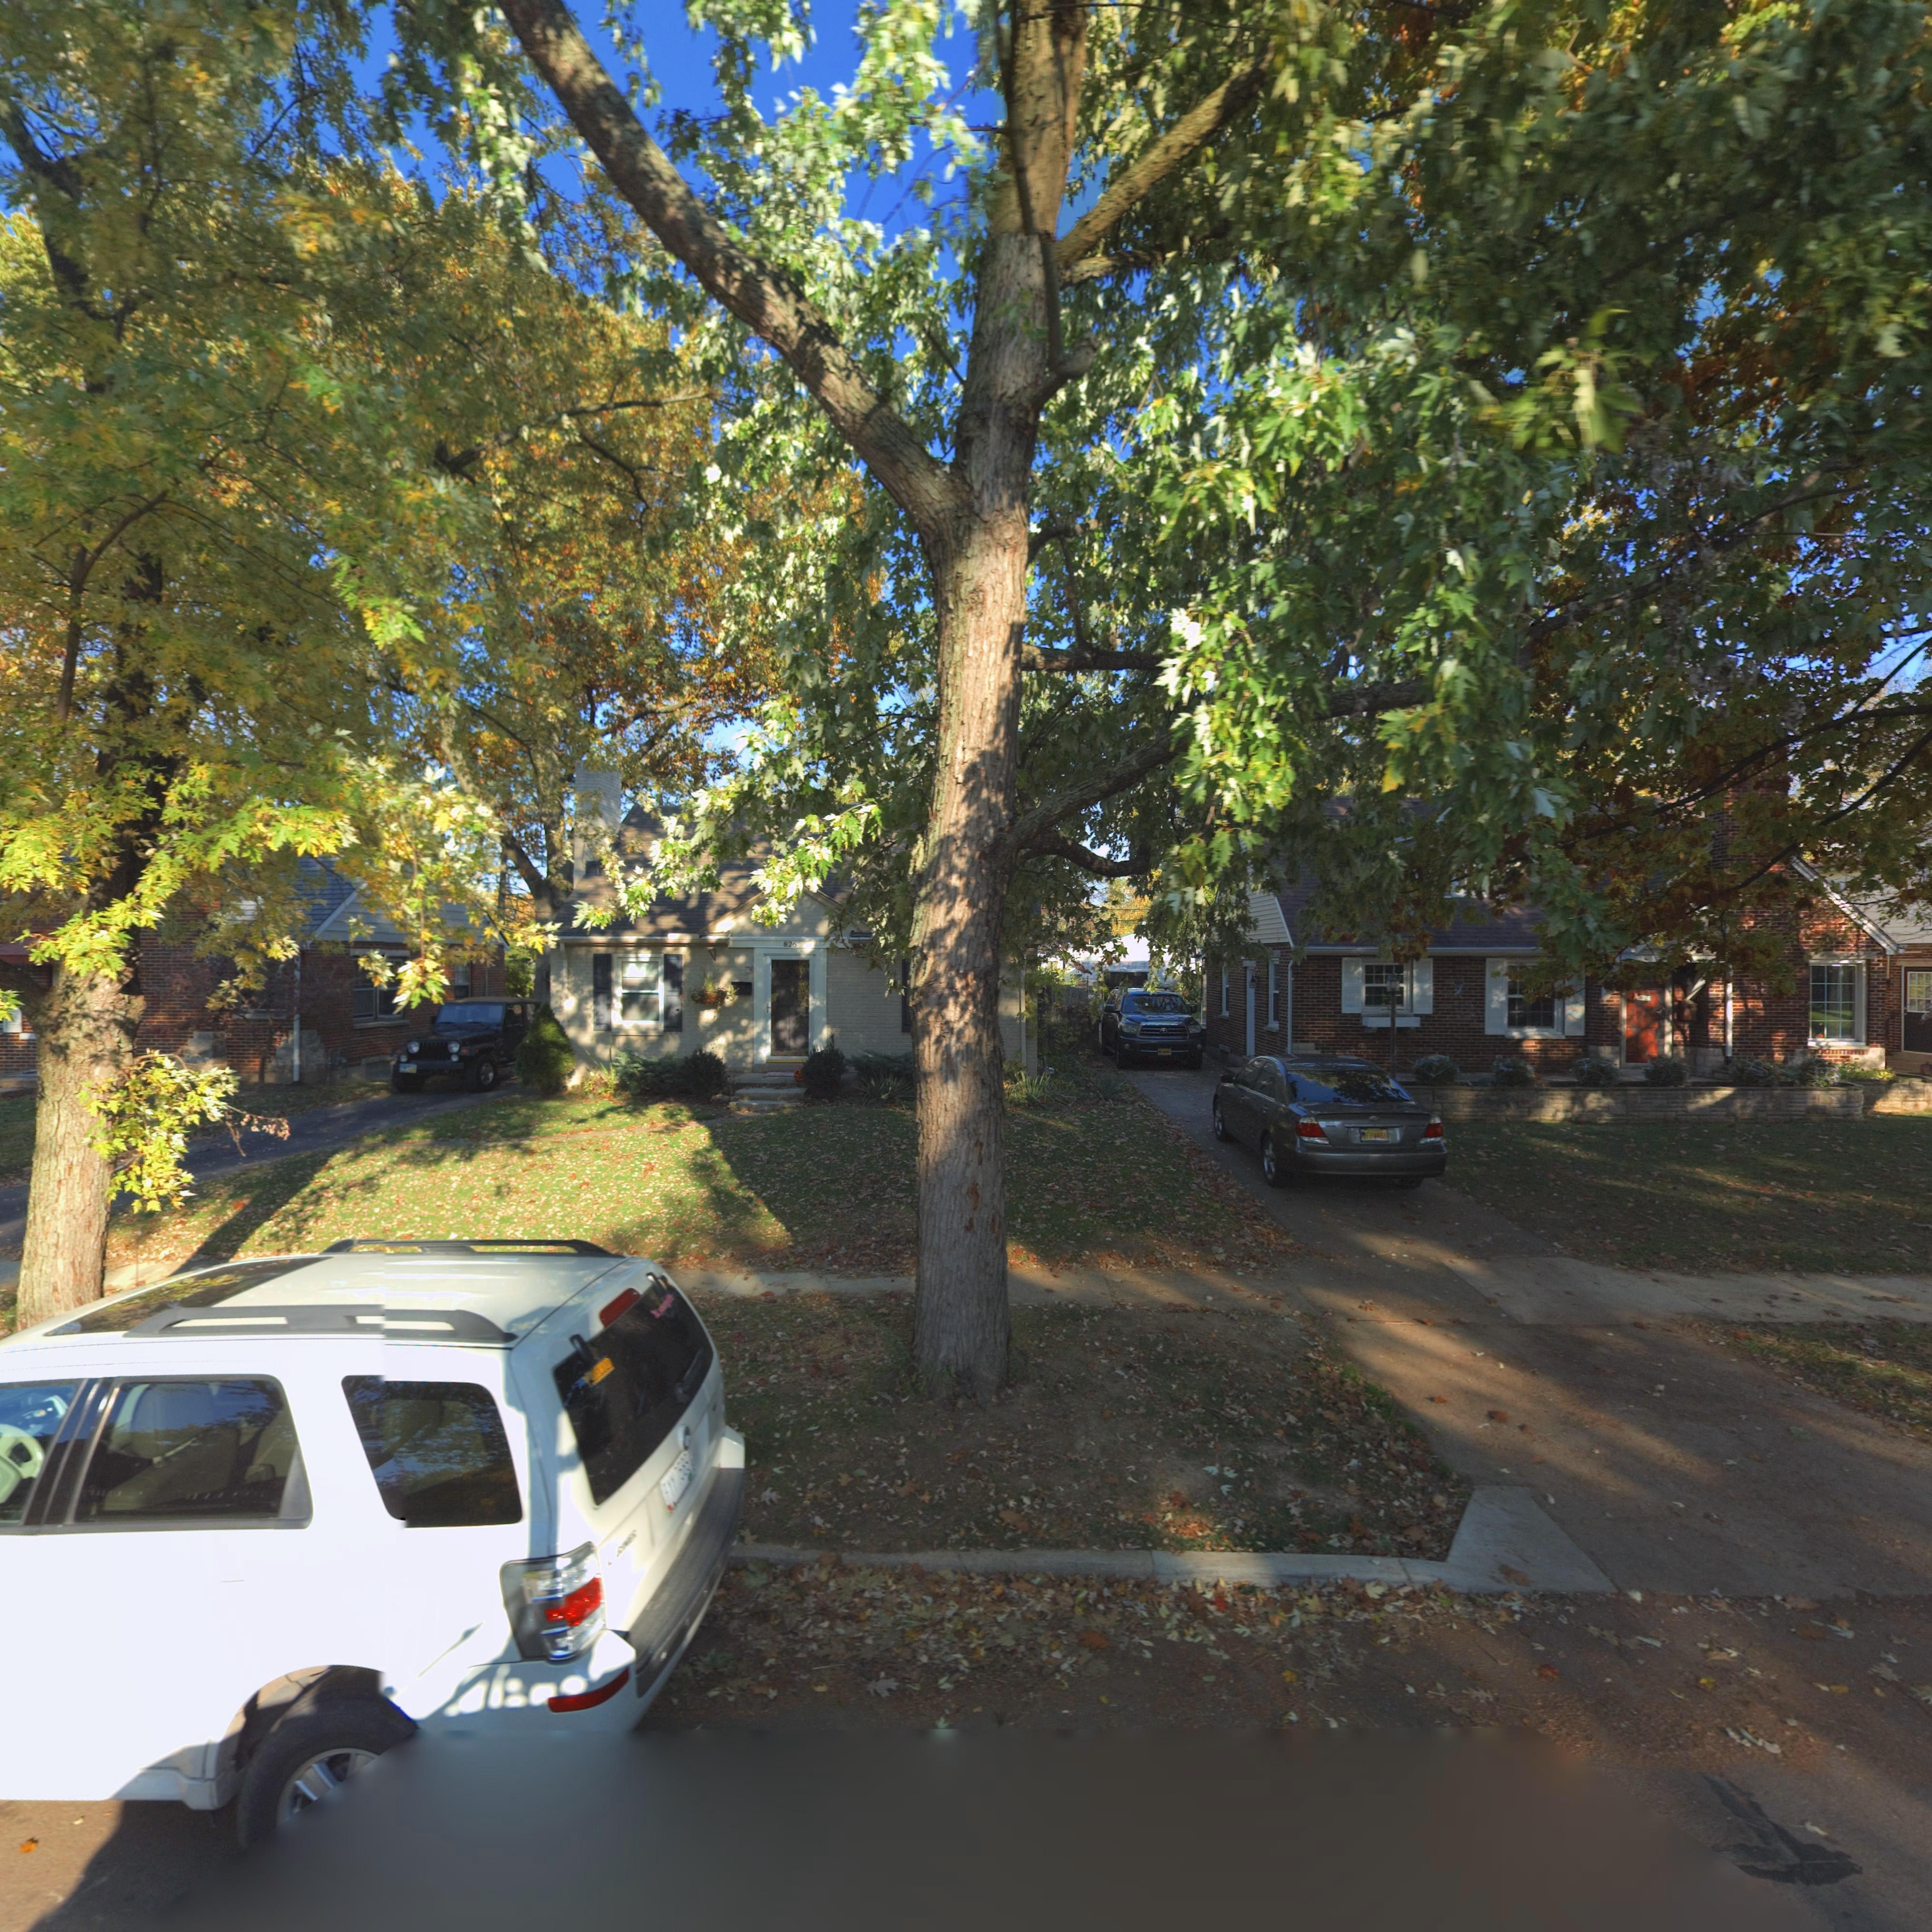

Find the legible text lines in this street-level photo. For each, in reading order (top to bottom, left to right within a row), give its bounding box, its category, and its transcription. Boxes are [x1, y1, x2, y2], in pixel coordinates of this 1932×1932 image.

[783, 940, 797, 947] StreetNumber: 826